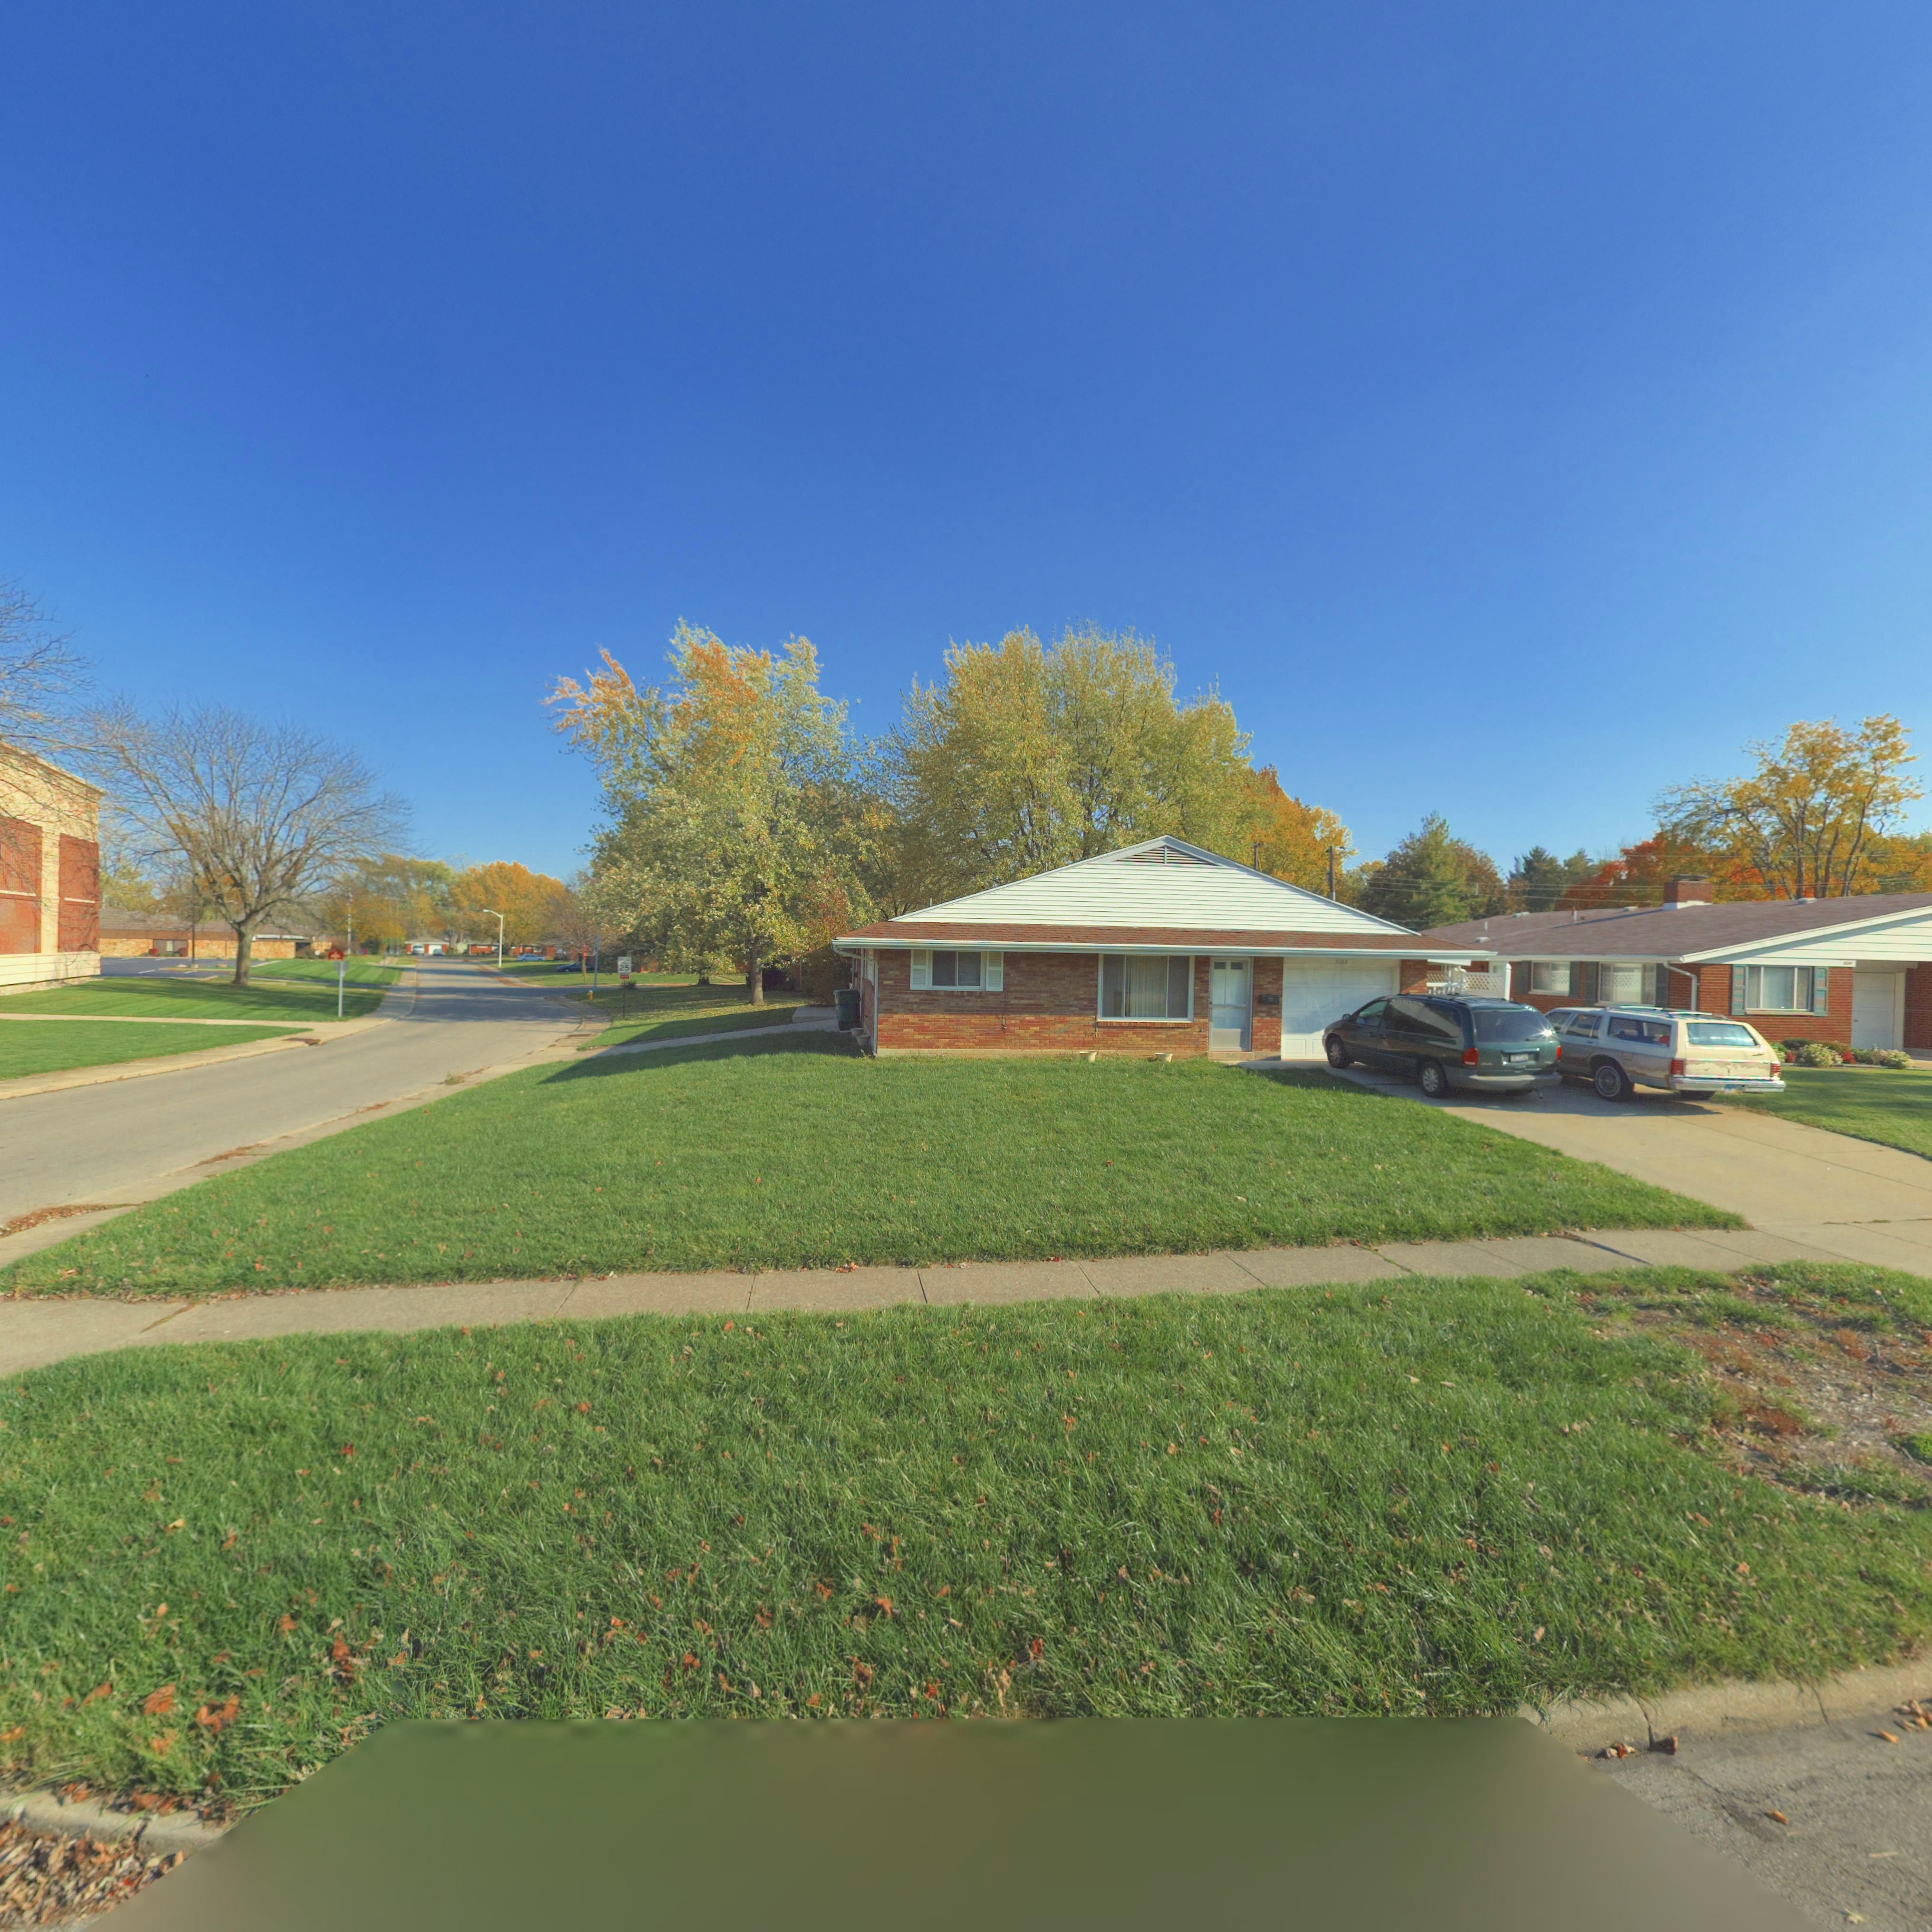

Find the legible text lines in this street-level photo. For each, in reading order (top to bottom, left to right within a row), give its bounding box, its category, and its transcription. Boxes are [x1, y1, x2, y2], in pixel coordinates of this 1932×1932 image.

[1334, 958, 1348, 965] StreetNumber: 3102